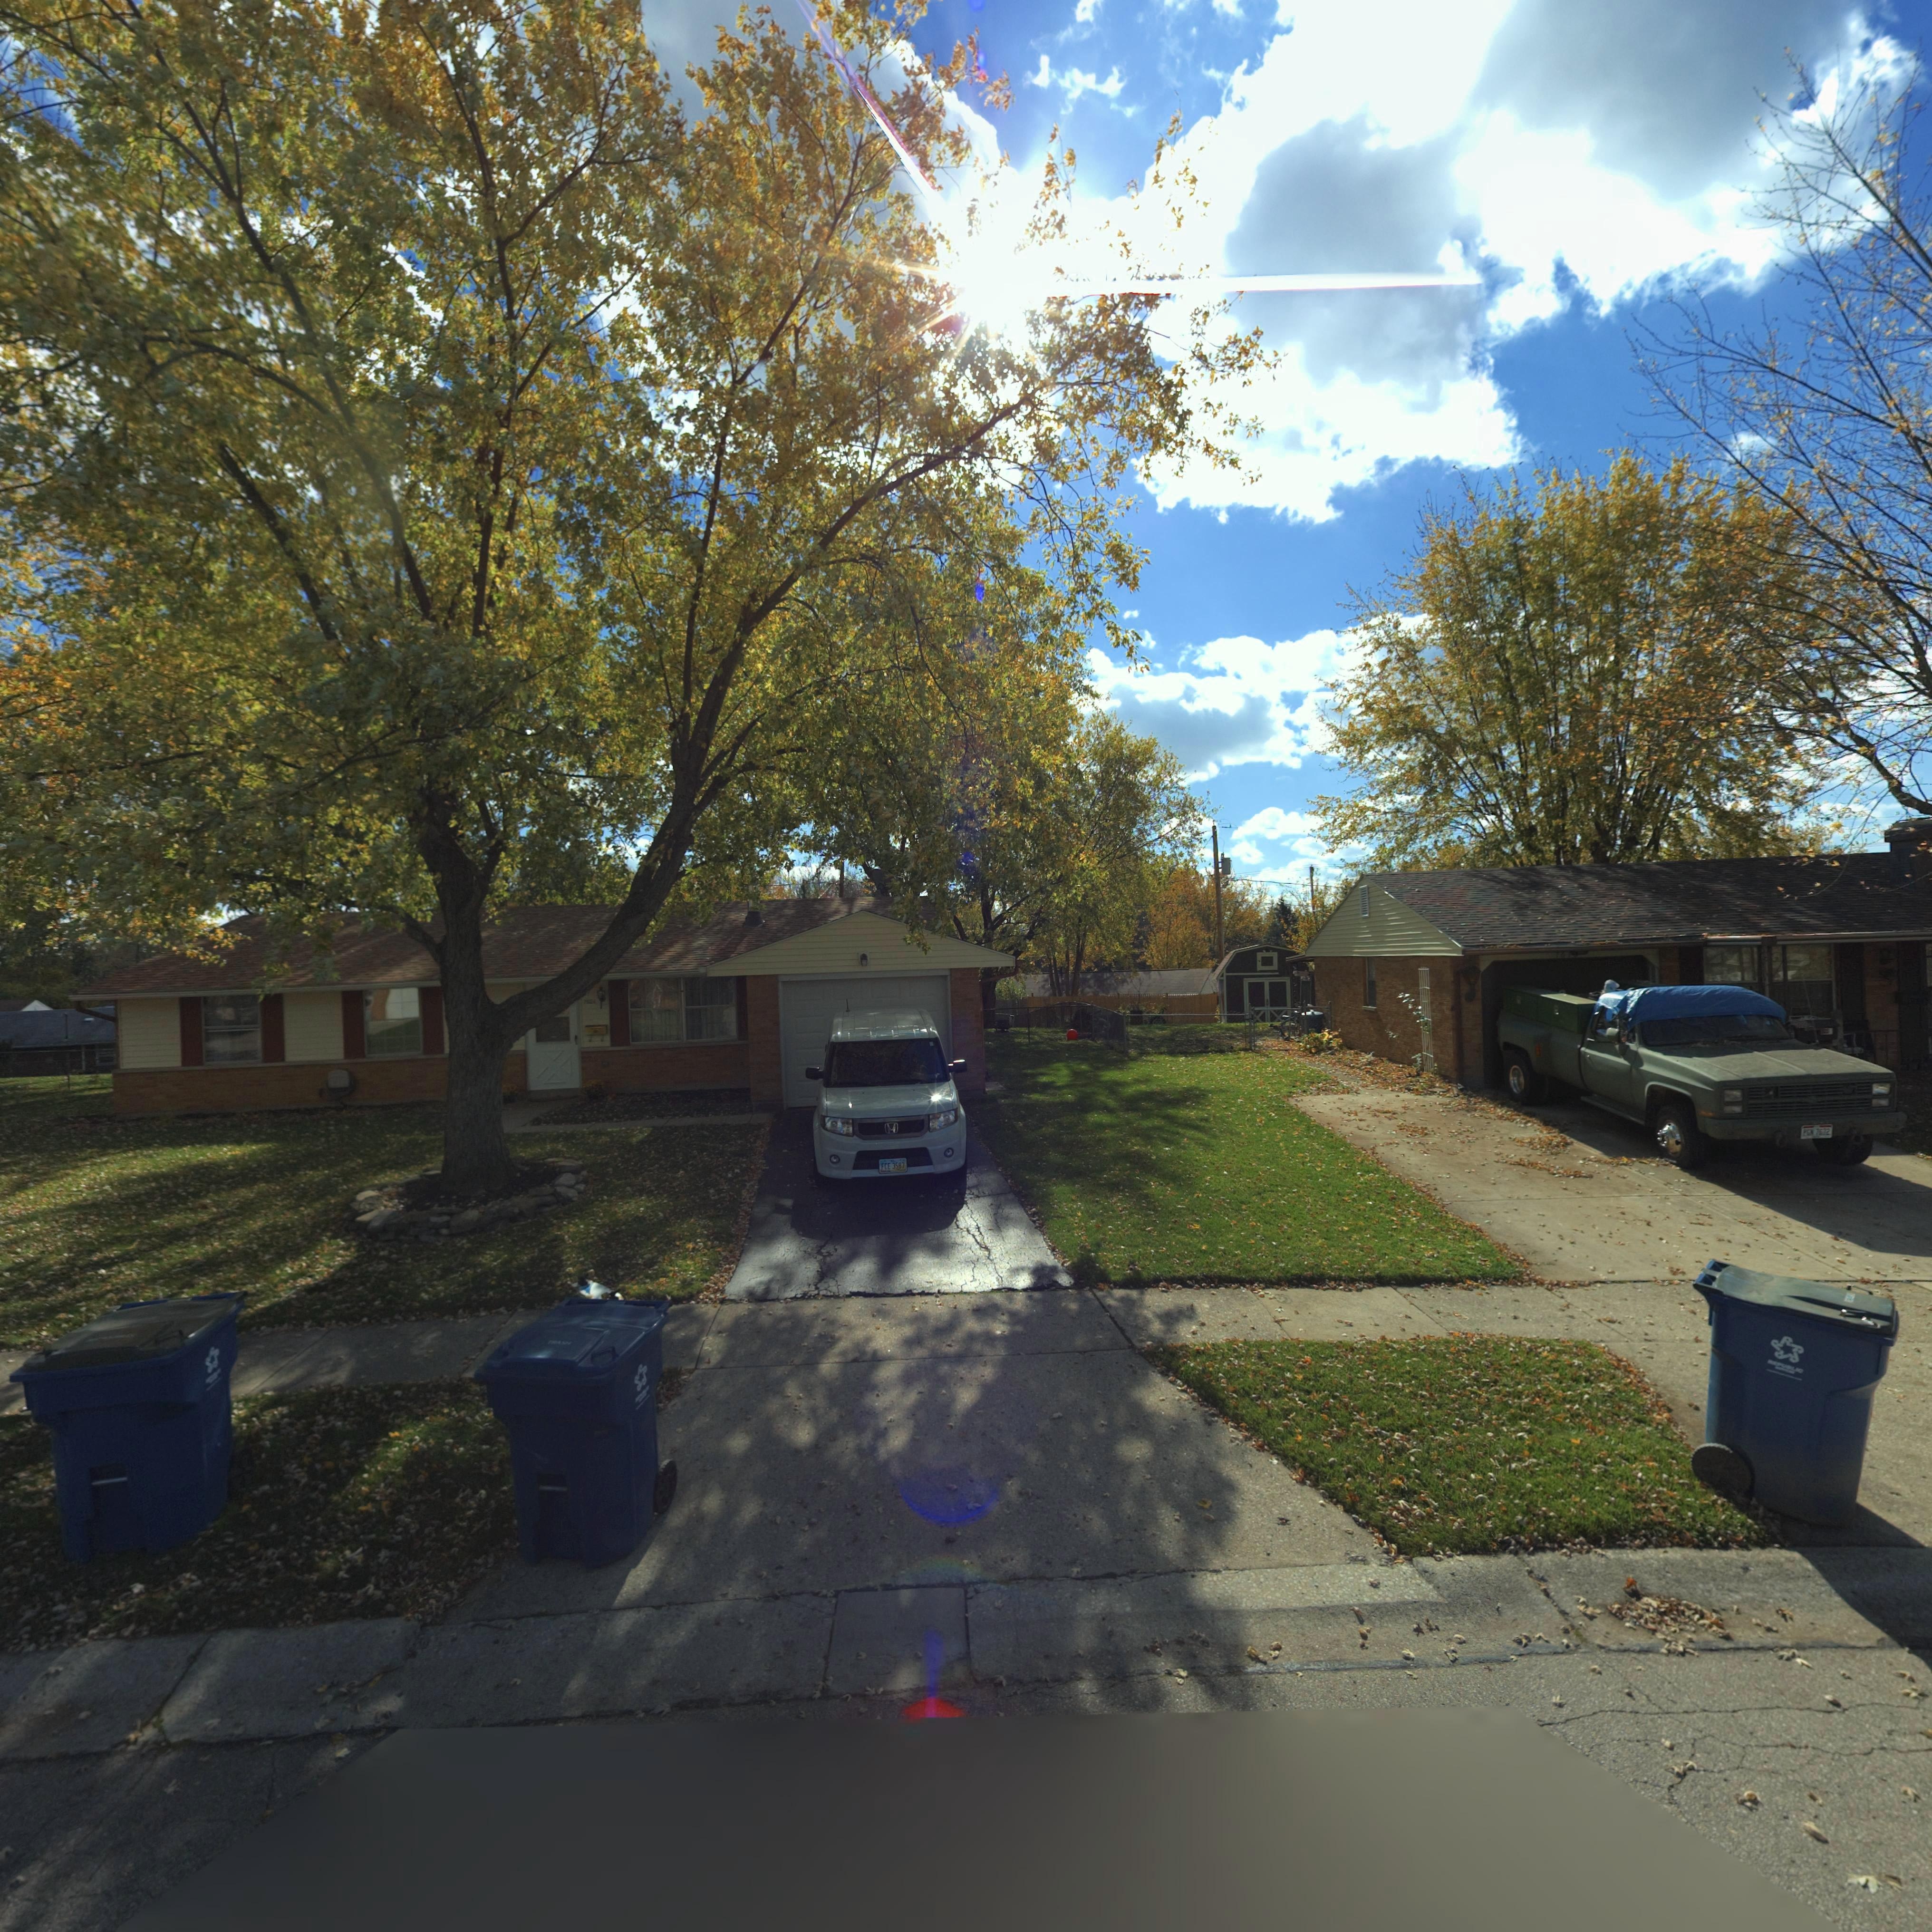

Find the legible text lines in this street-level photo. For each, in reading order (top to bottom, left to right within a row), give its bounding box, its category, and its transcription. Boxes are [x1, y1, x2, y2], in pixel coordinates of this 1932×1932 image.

[1555, 951, 1566, 959] StreetNumber: 76
[583, 998, 596, 1005] StreetNumber: 762*